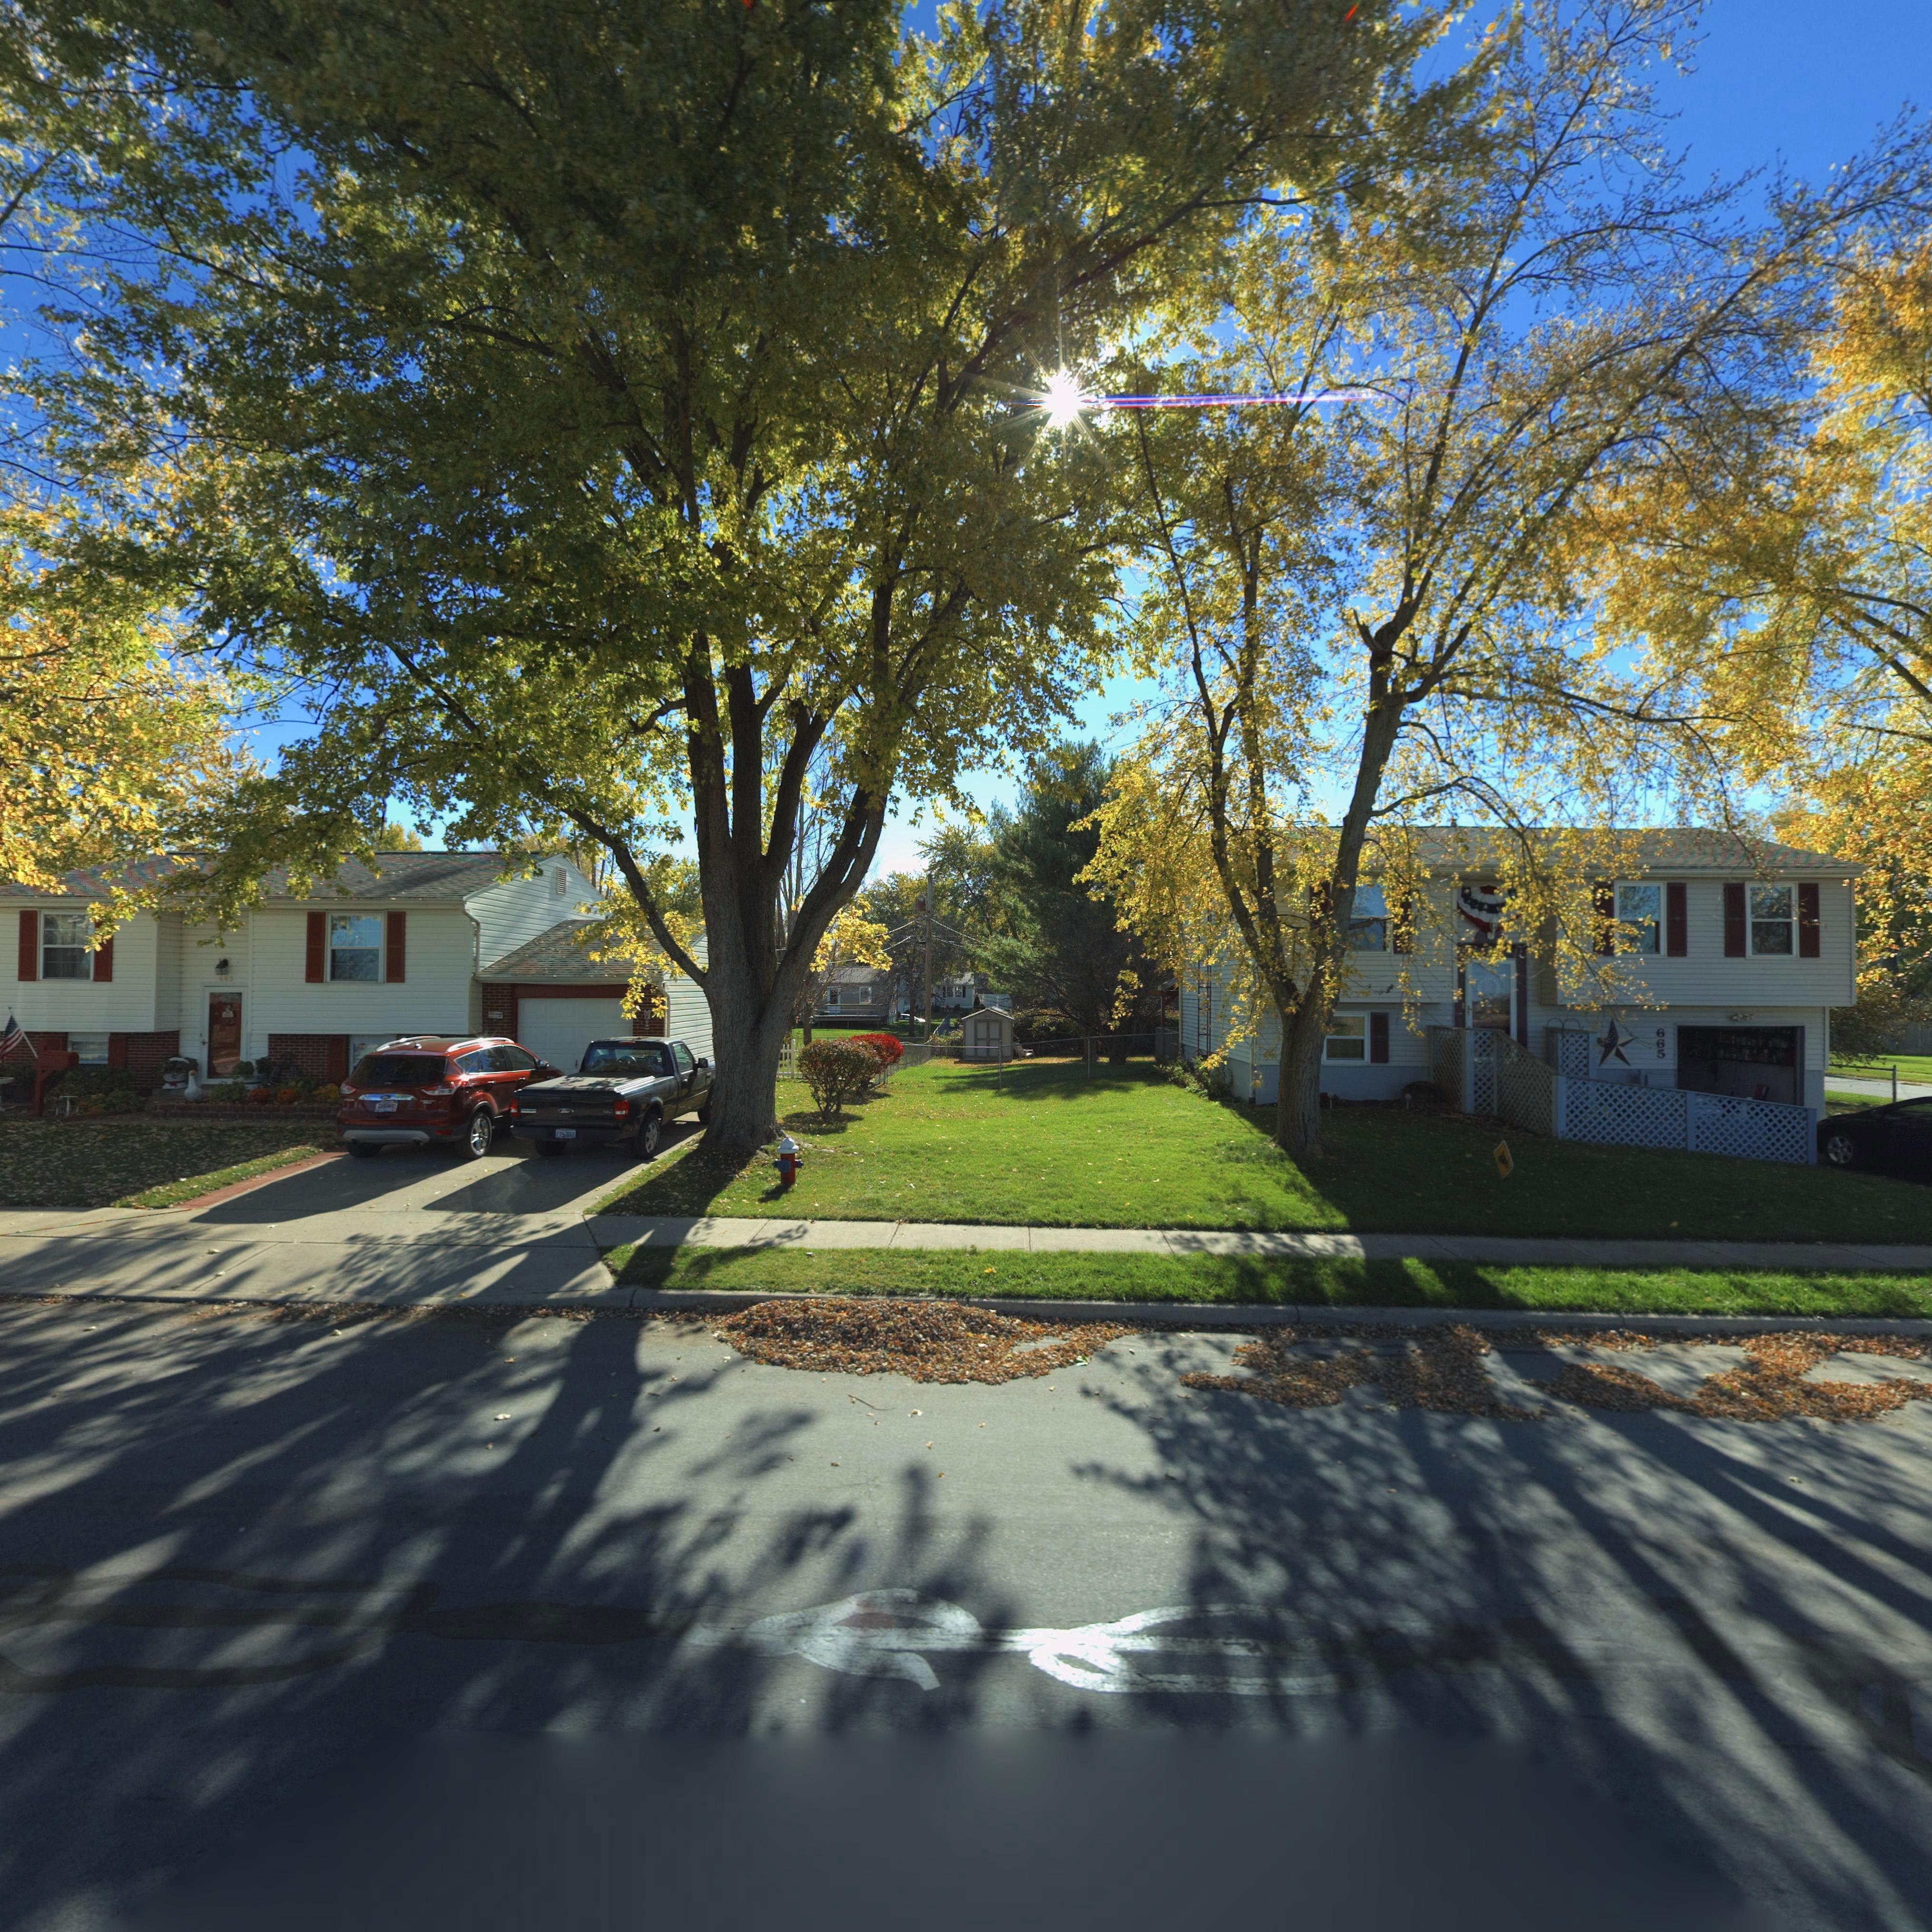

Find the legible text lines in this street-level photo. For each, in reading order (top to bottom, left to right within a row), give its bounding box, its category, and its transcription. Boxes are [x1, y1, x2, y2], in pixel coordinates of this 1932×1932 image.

[218, 975, 233, 982] StreetNumber: **3
[1656, 1027, 1666, 1059] StreetNumber: 665